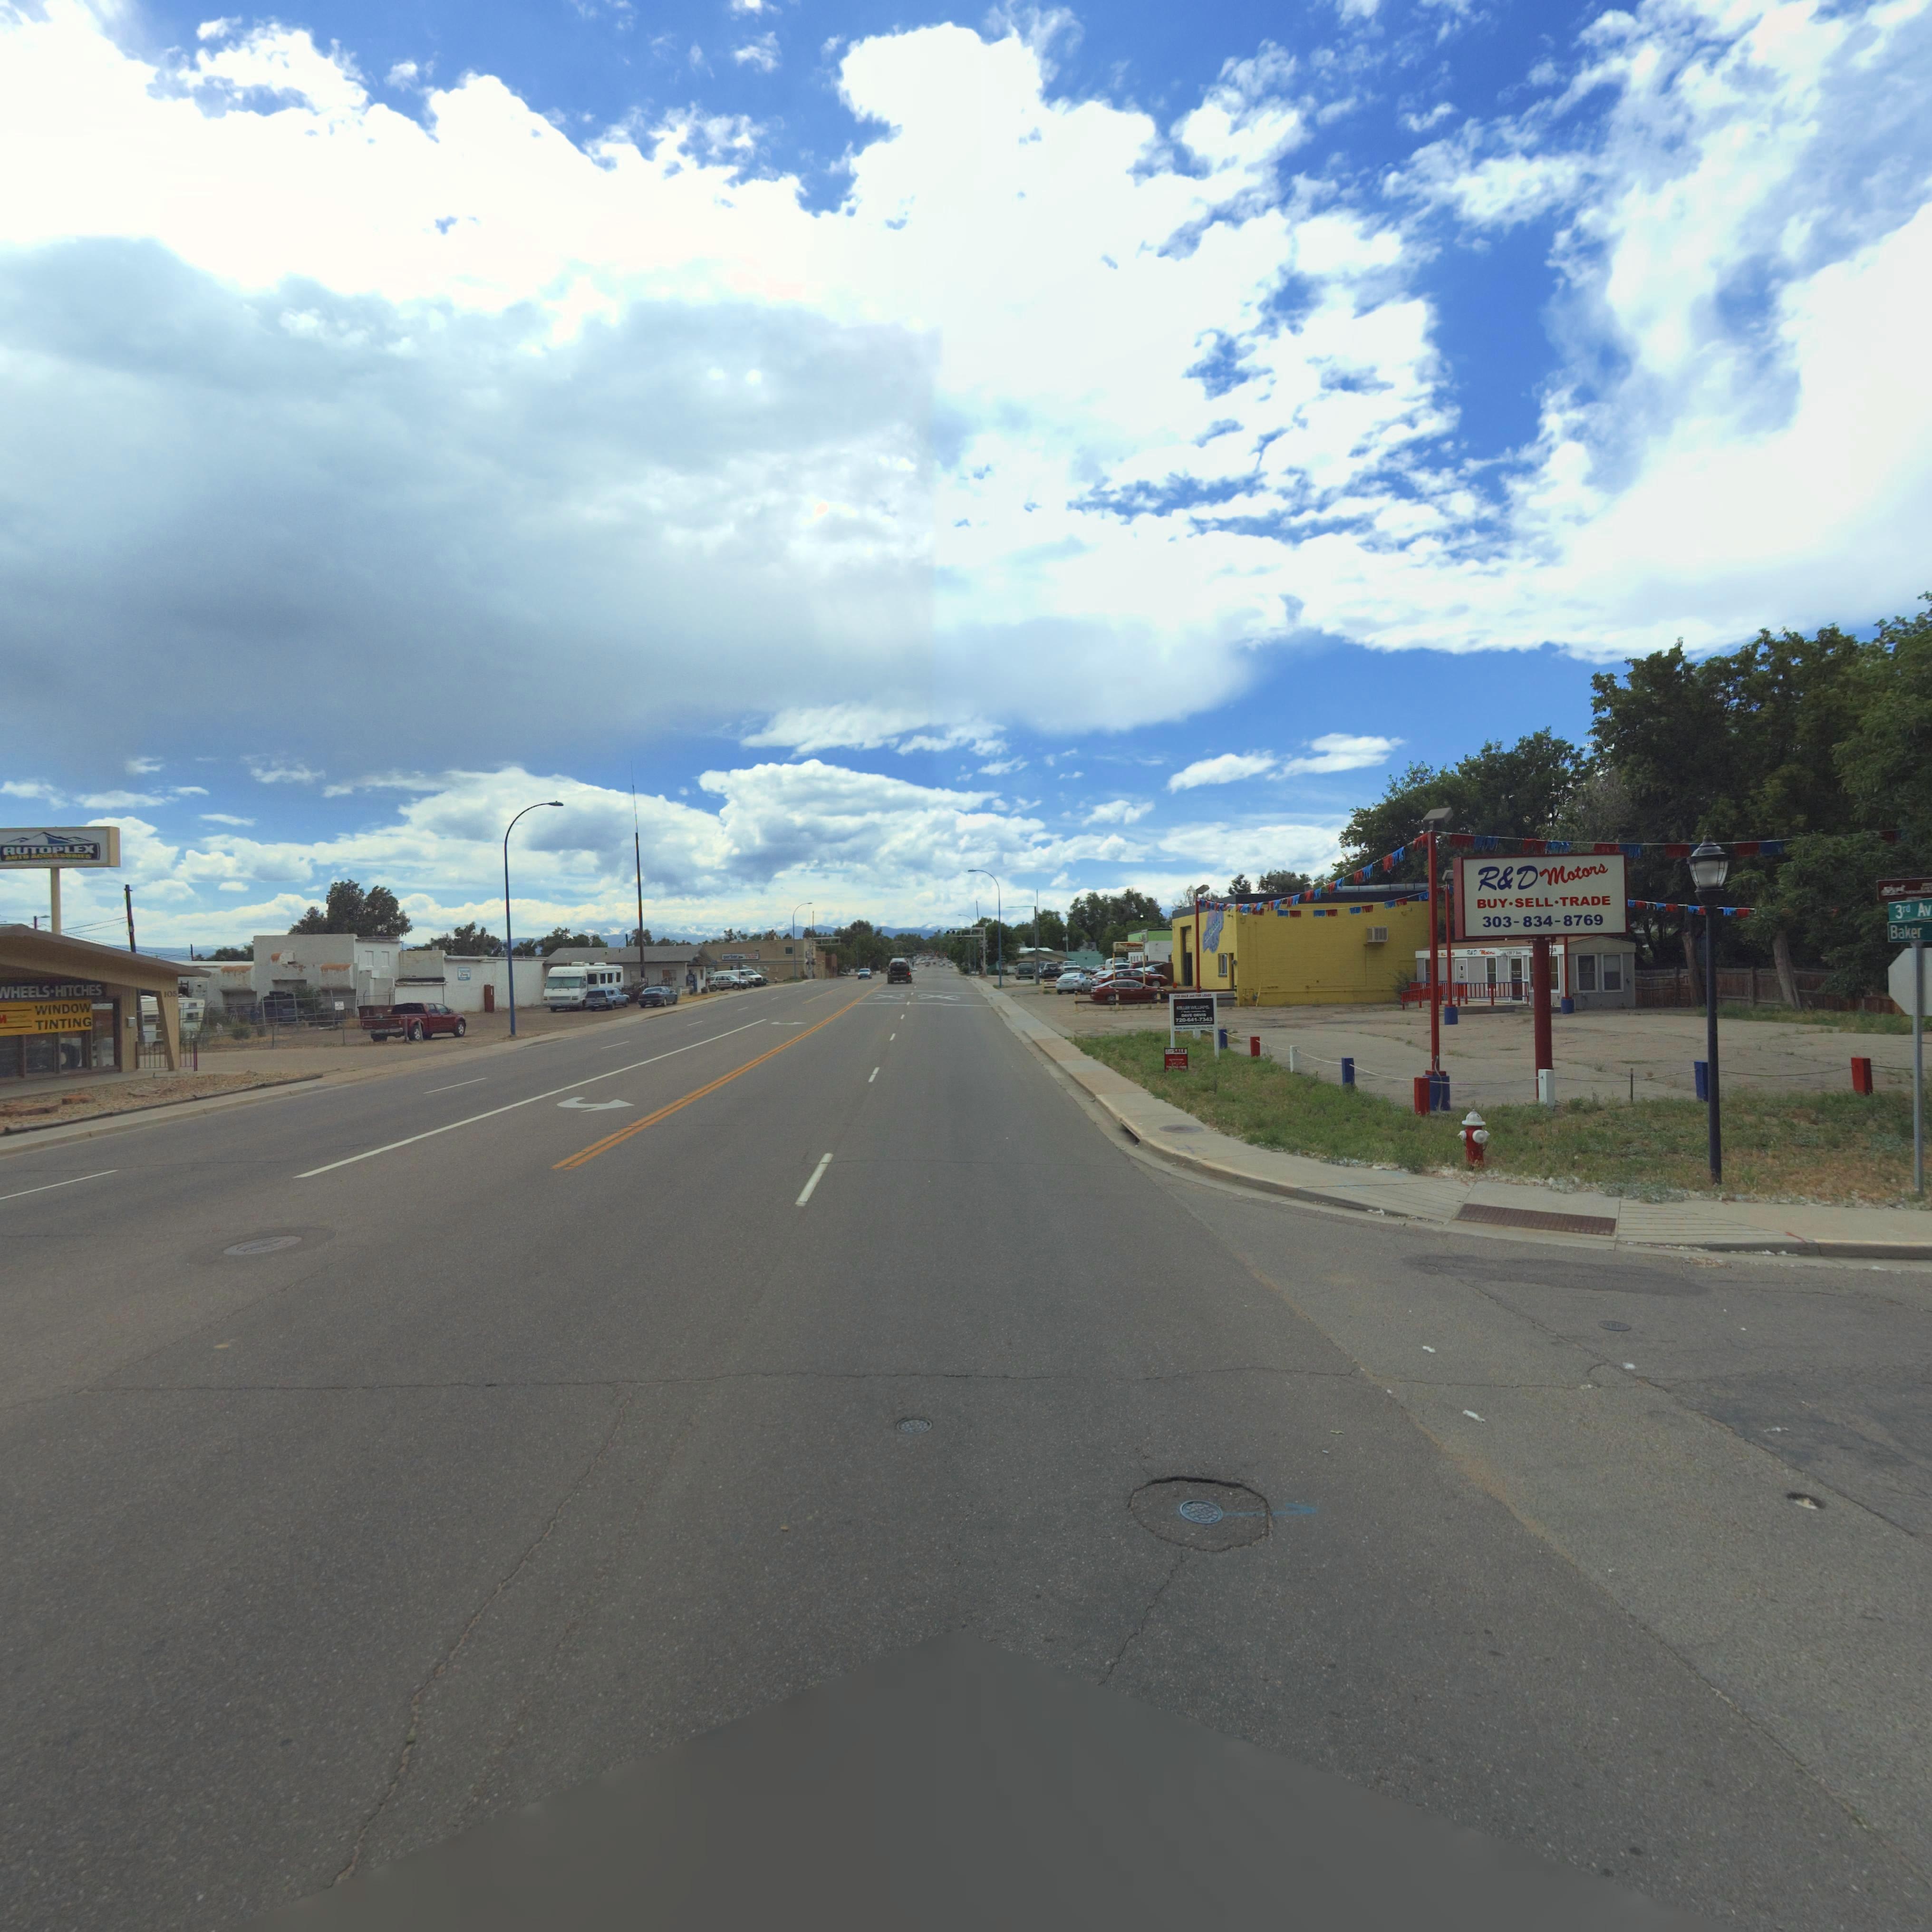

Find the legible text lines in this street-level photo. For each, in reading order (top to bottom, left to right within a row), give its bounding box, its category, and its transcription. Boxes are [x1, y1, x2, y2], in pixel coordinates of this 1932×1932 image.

[2, 844, 94, 855] BusinessName: AUTOPLEX
[4, 853, 92, 860] BusinessName: AUTO ACCESSORIES
[1477, 864, 1538, 891] BusinessName: R*D
[1538, 862, 1608, 886] BusinessName: Motors
[1894, 901, 1931, 919] StreetName: 3rd Av
[1890, 924, 1923, 939] StreetName: Baker
[1466, 949, 1478, 956] BusinessName: R*D
[1478, 948, 1496, 955] BusinessName: Mot*rs
[164, 990, 177, 998] StreetNumber: 105